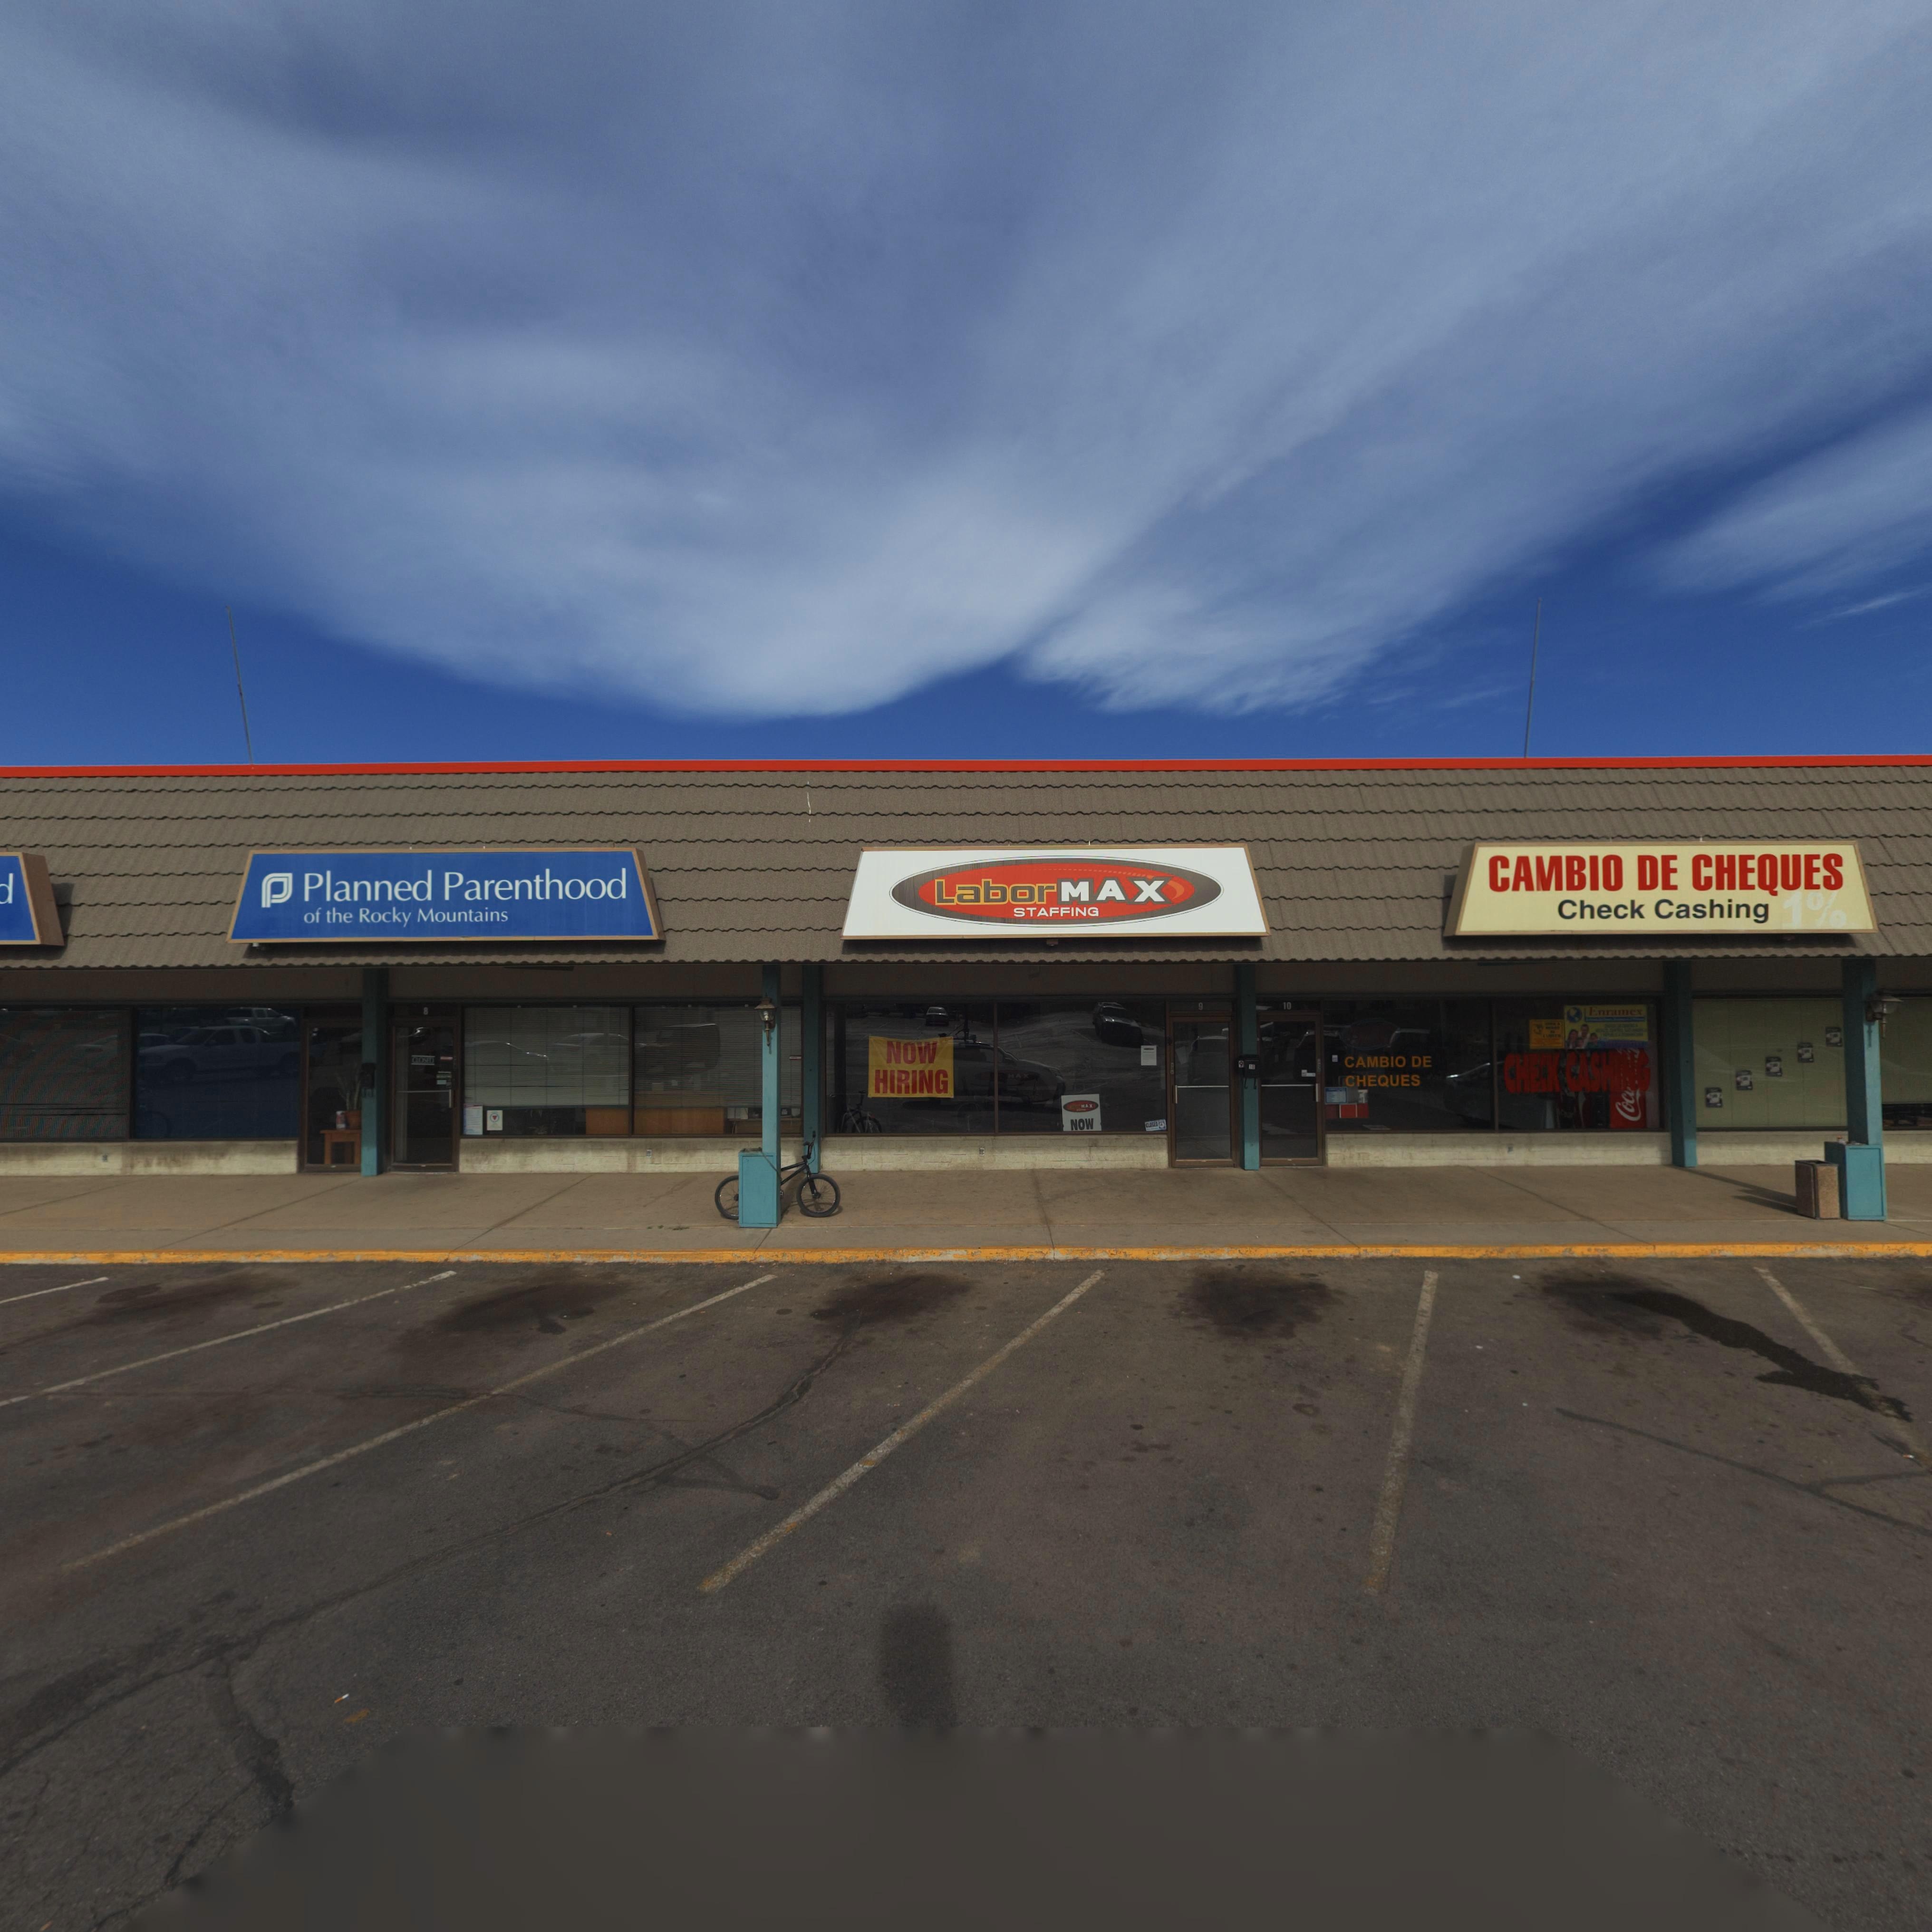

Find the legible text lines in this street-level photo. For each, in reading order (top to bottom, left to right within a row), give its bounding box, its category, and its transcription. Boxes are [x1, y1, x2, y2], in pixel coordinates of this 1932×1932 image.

[1486, 851, 1845, 898] BusinessName: CAMBIO DE CHEQUES
[302, 866, 628, 902] BusinessName: Planned Parenthood
[933, 876, 1173, 906] BusinessName: LaborMAX
[1013, 906, 1100, 918] BusinessName: STAFFING
[423, 1006, 428, 1015] StreetNumber: 8
[1198, 1002, 1203, 1010] StreetNumber: 9
[1283, 1002, 1291, 1010] StreetNumber: 10
[1344, 1055, 1432, 1069] BusinessName: CAMBIO DE
[1343, 1074, 1421, 1088] BusinessName: CHEQUES